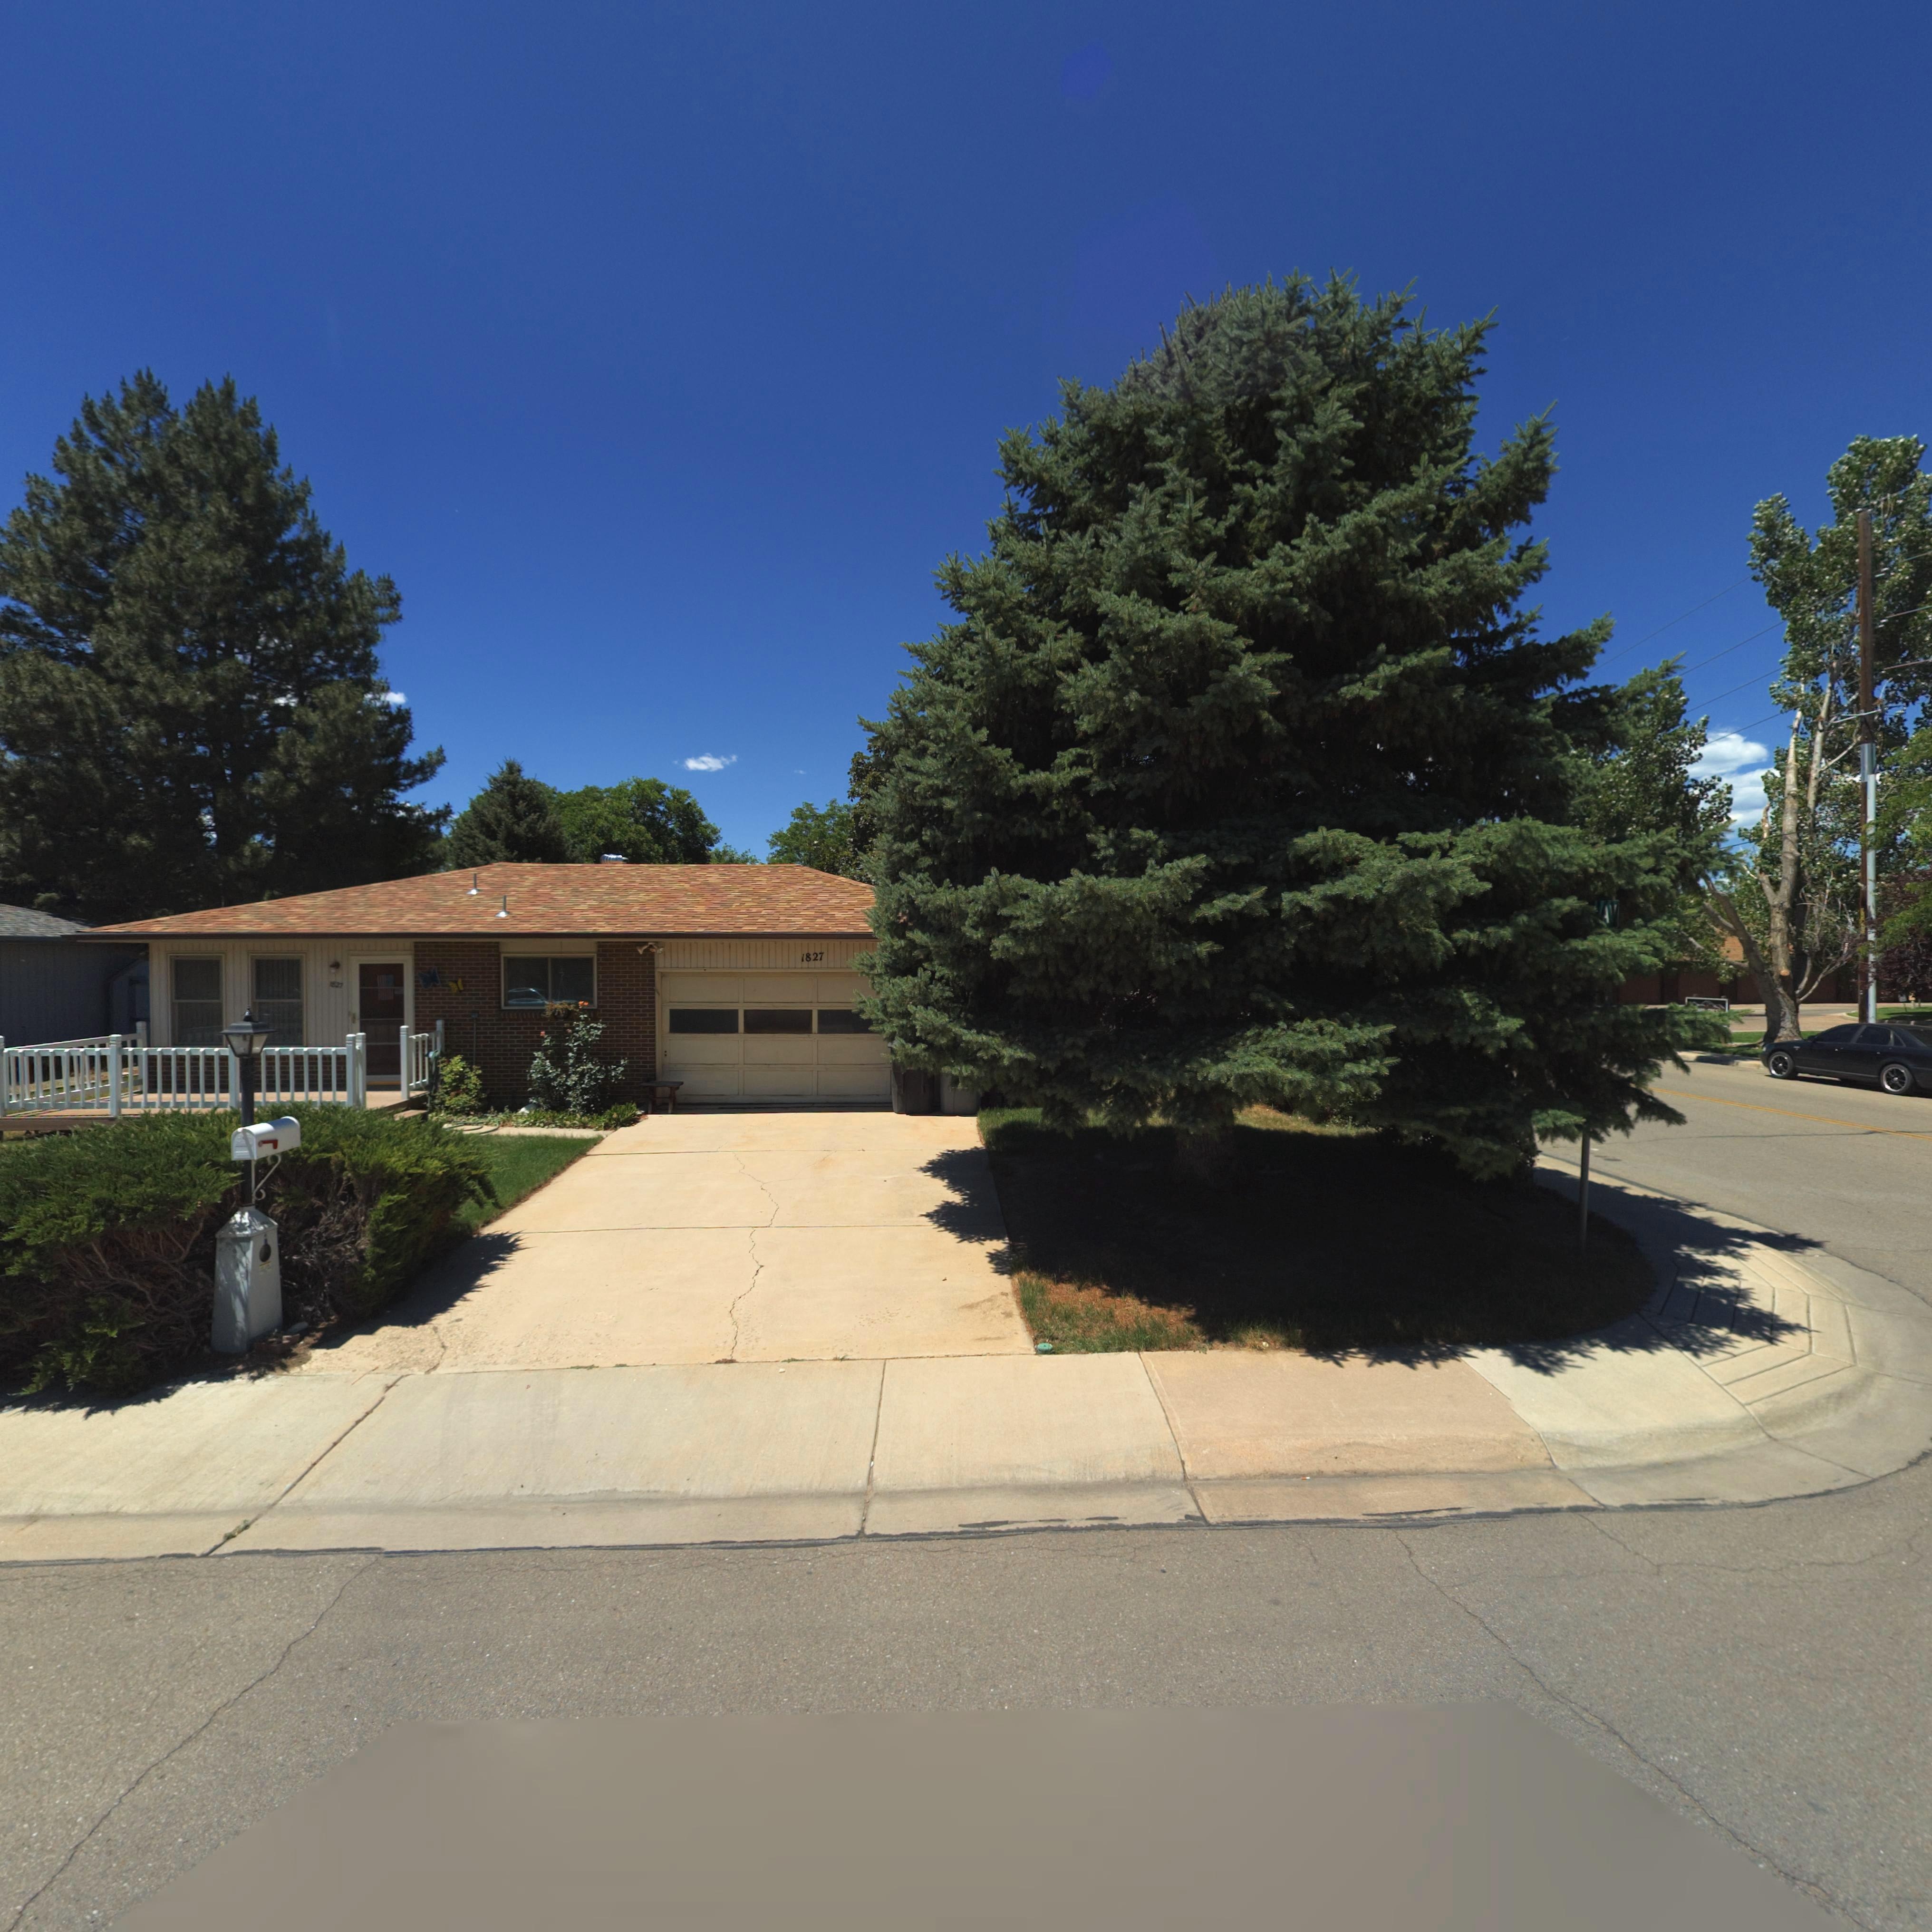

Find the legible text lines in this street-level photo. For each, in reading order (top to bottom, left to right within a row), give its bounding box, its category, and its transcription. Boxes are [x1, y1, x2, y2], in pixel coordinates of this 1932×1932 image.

[801, 951, 824, 962] StreetNumber: 1827
[328, 980, 344, 988] StreetNumber: 1827